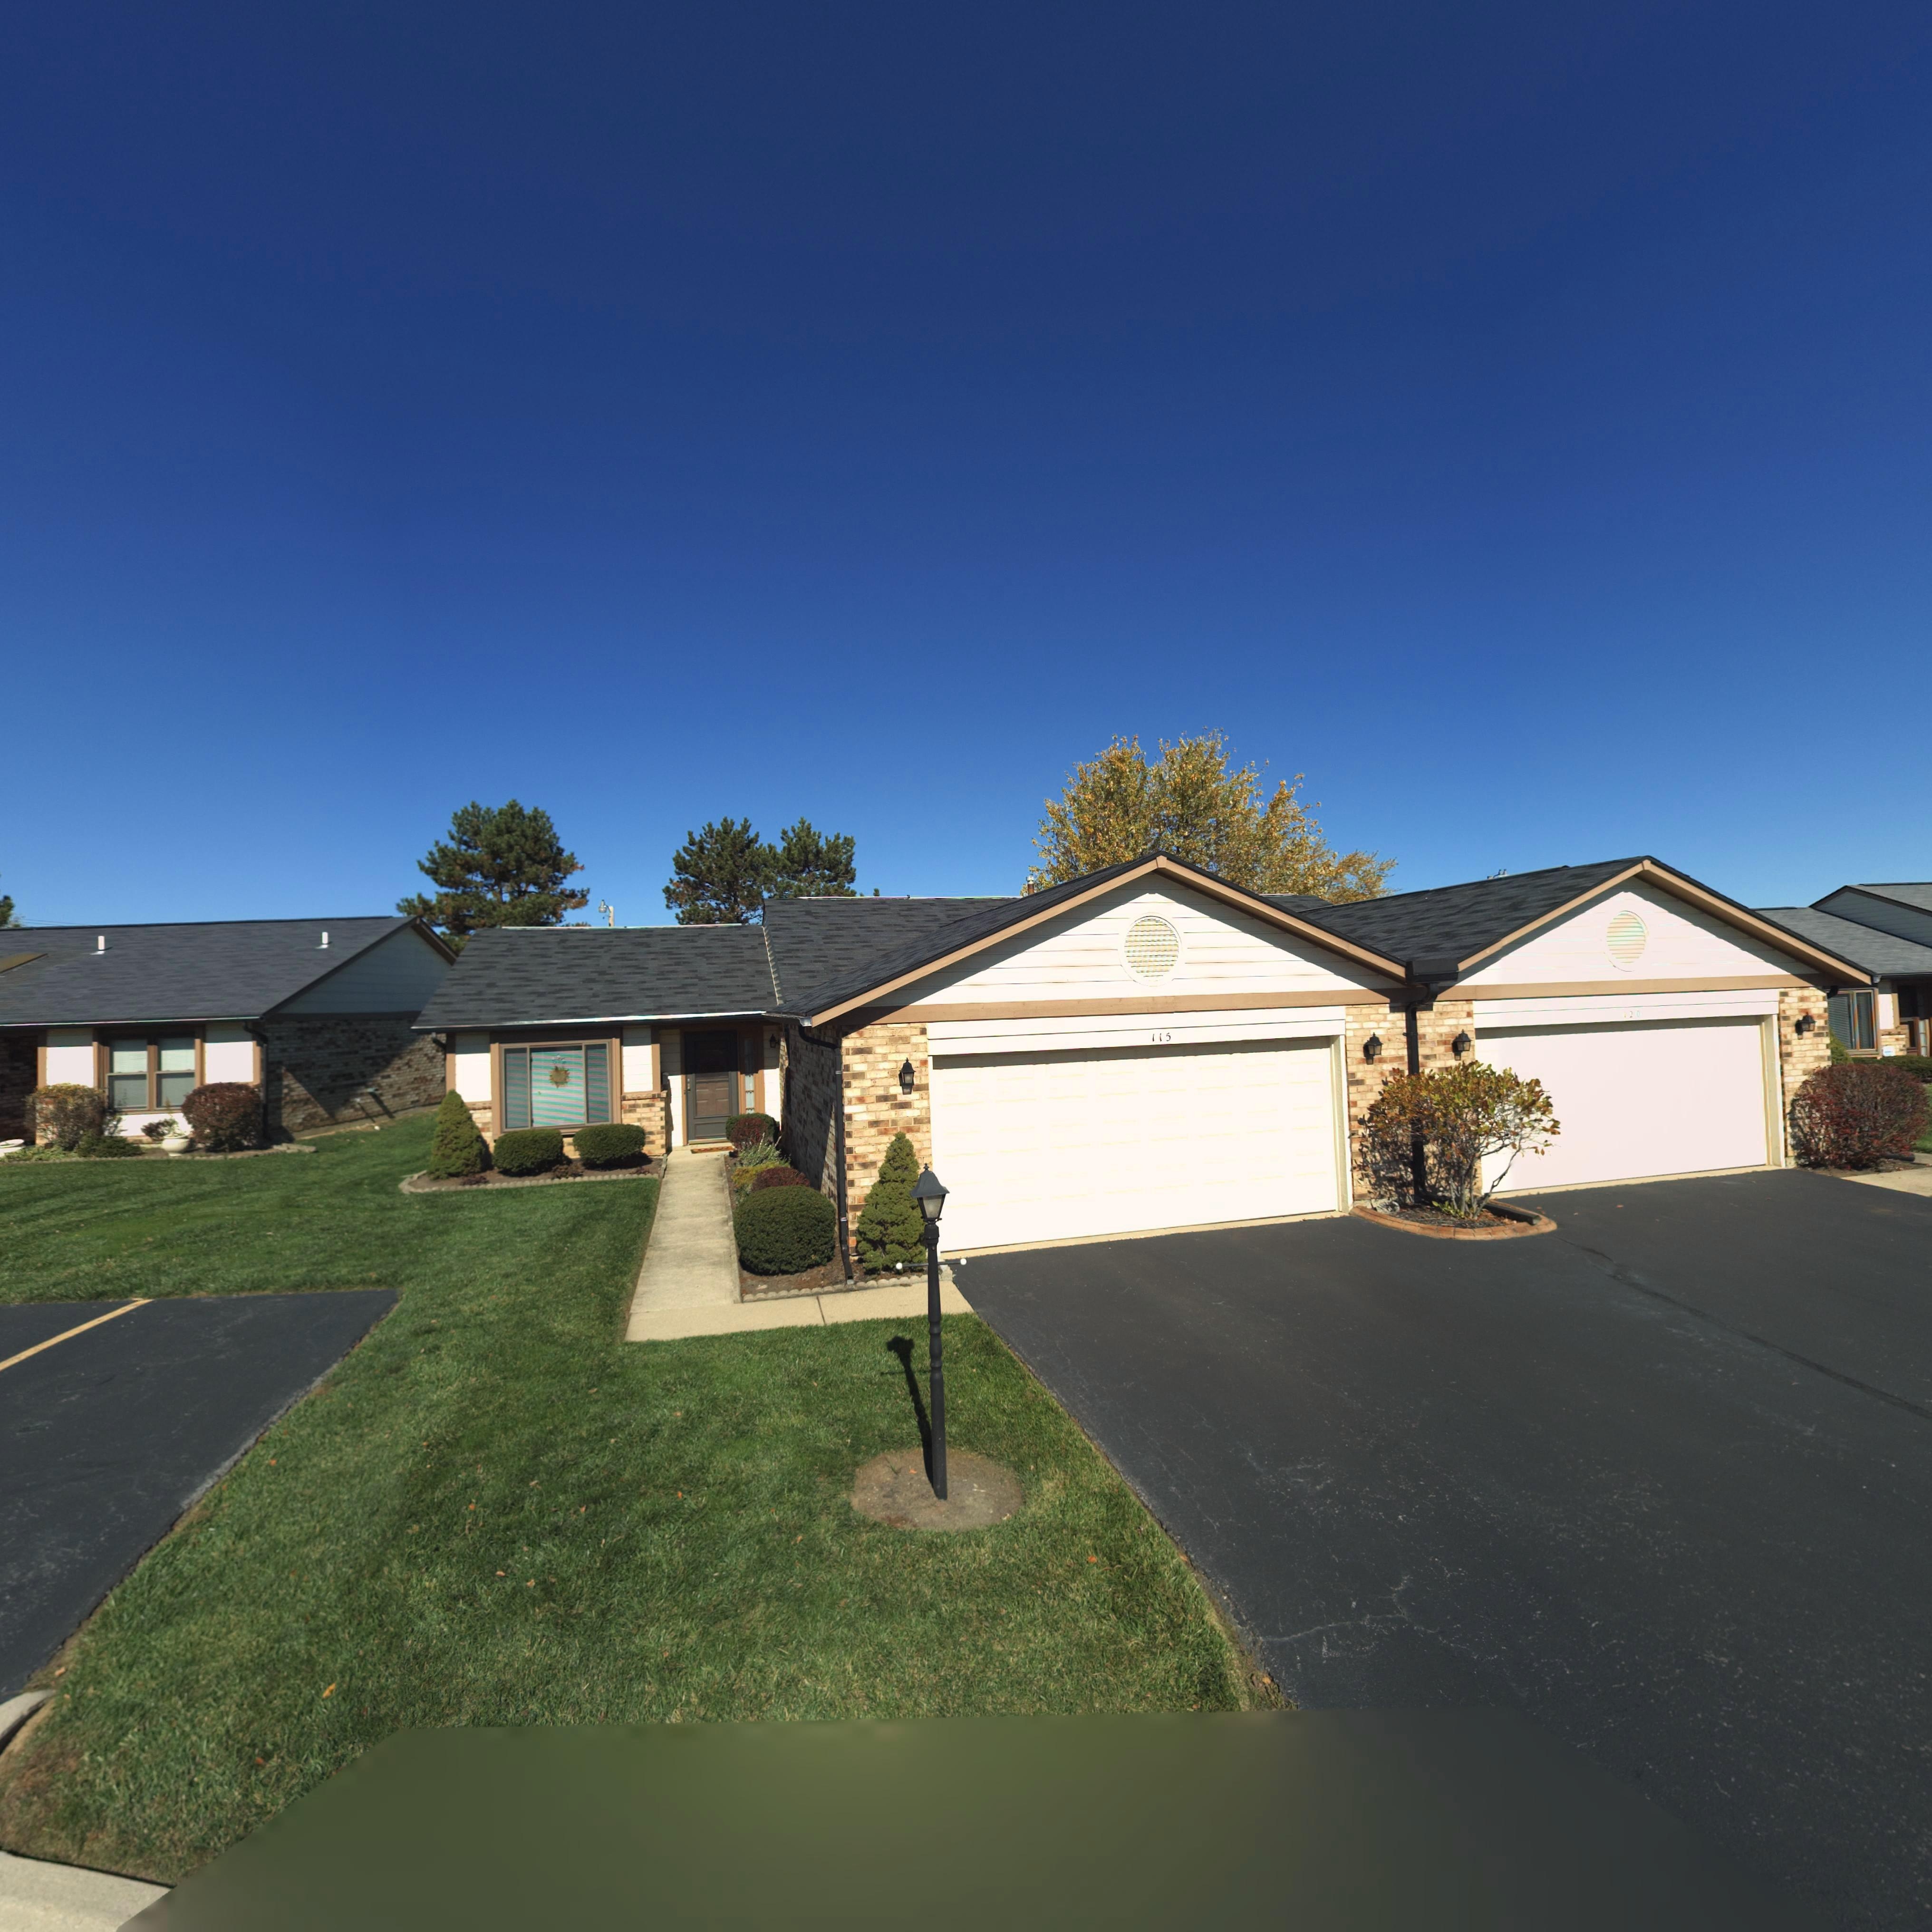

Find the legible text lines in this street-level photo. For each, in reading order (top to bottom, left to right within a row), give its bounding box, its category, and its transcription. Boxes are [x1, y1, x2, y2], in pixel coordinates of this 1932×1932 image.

[1623, 1009, 1642, 1019] StreetNumber: 120
[1151, 1032, 1172, 1043] StreetNumber: 115